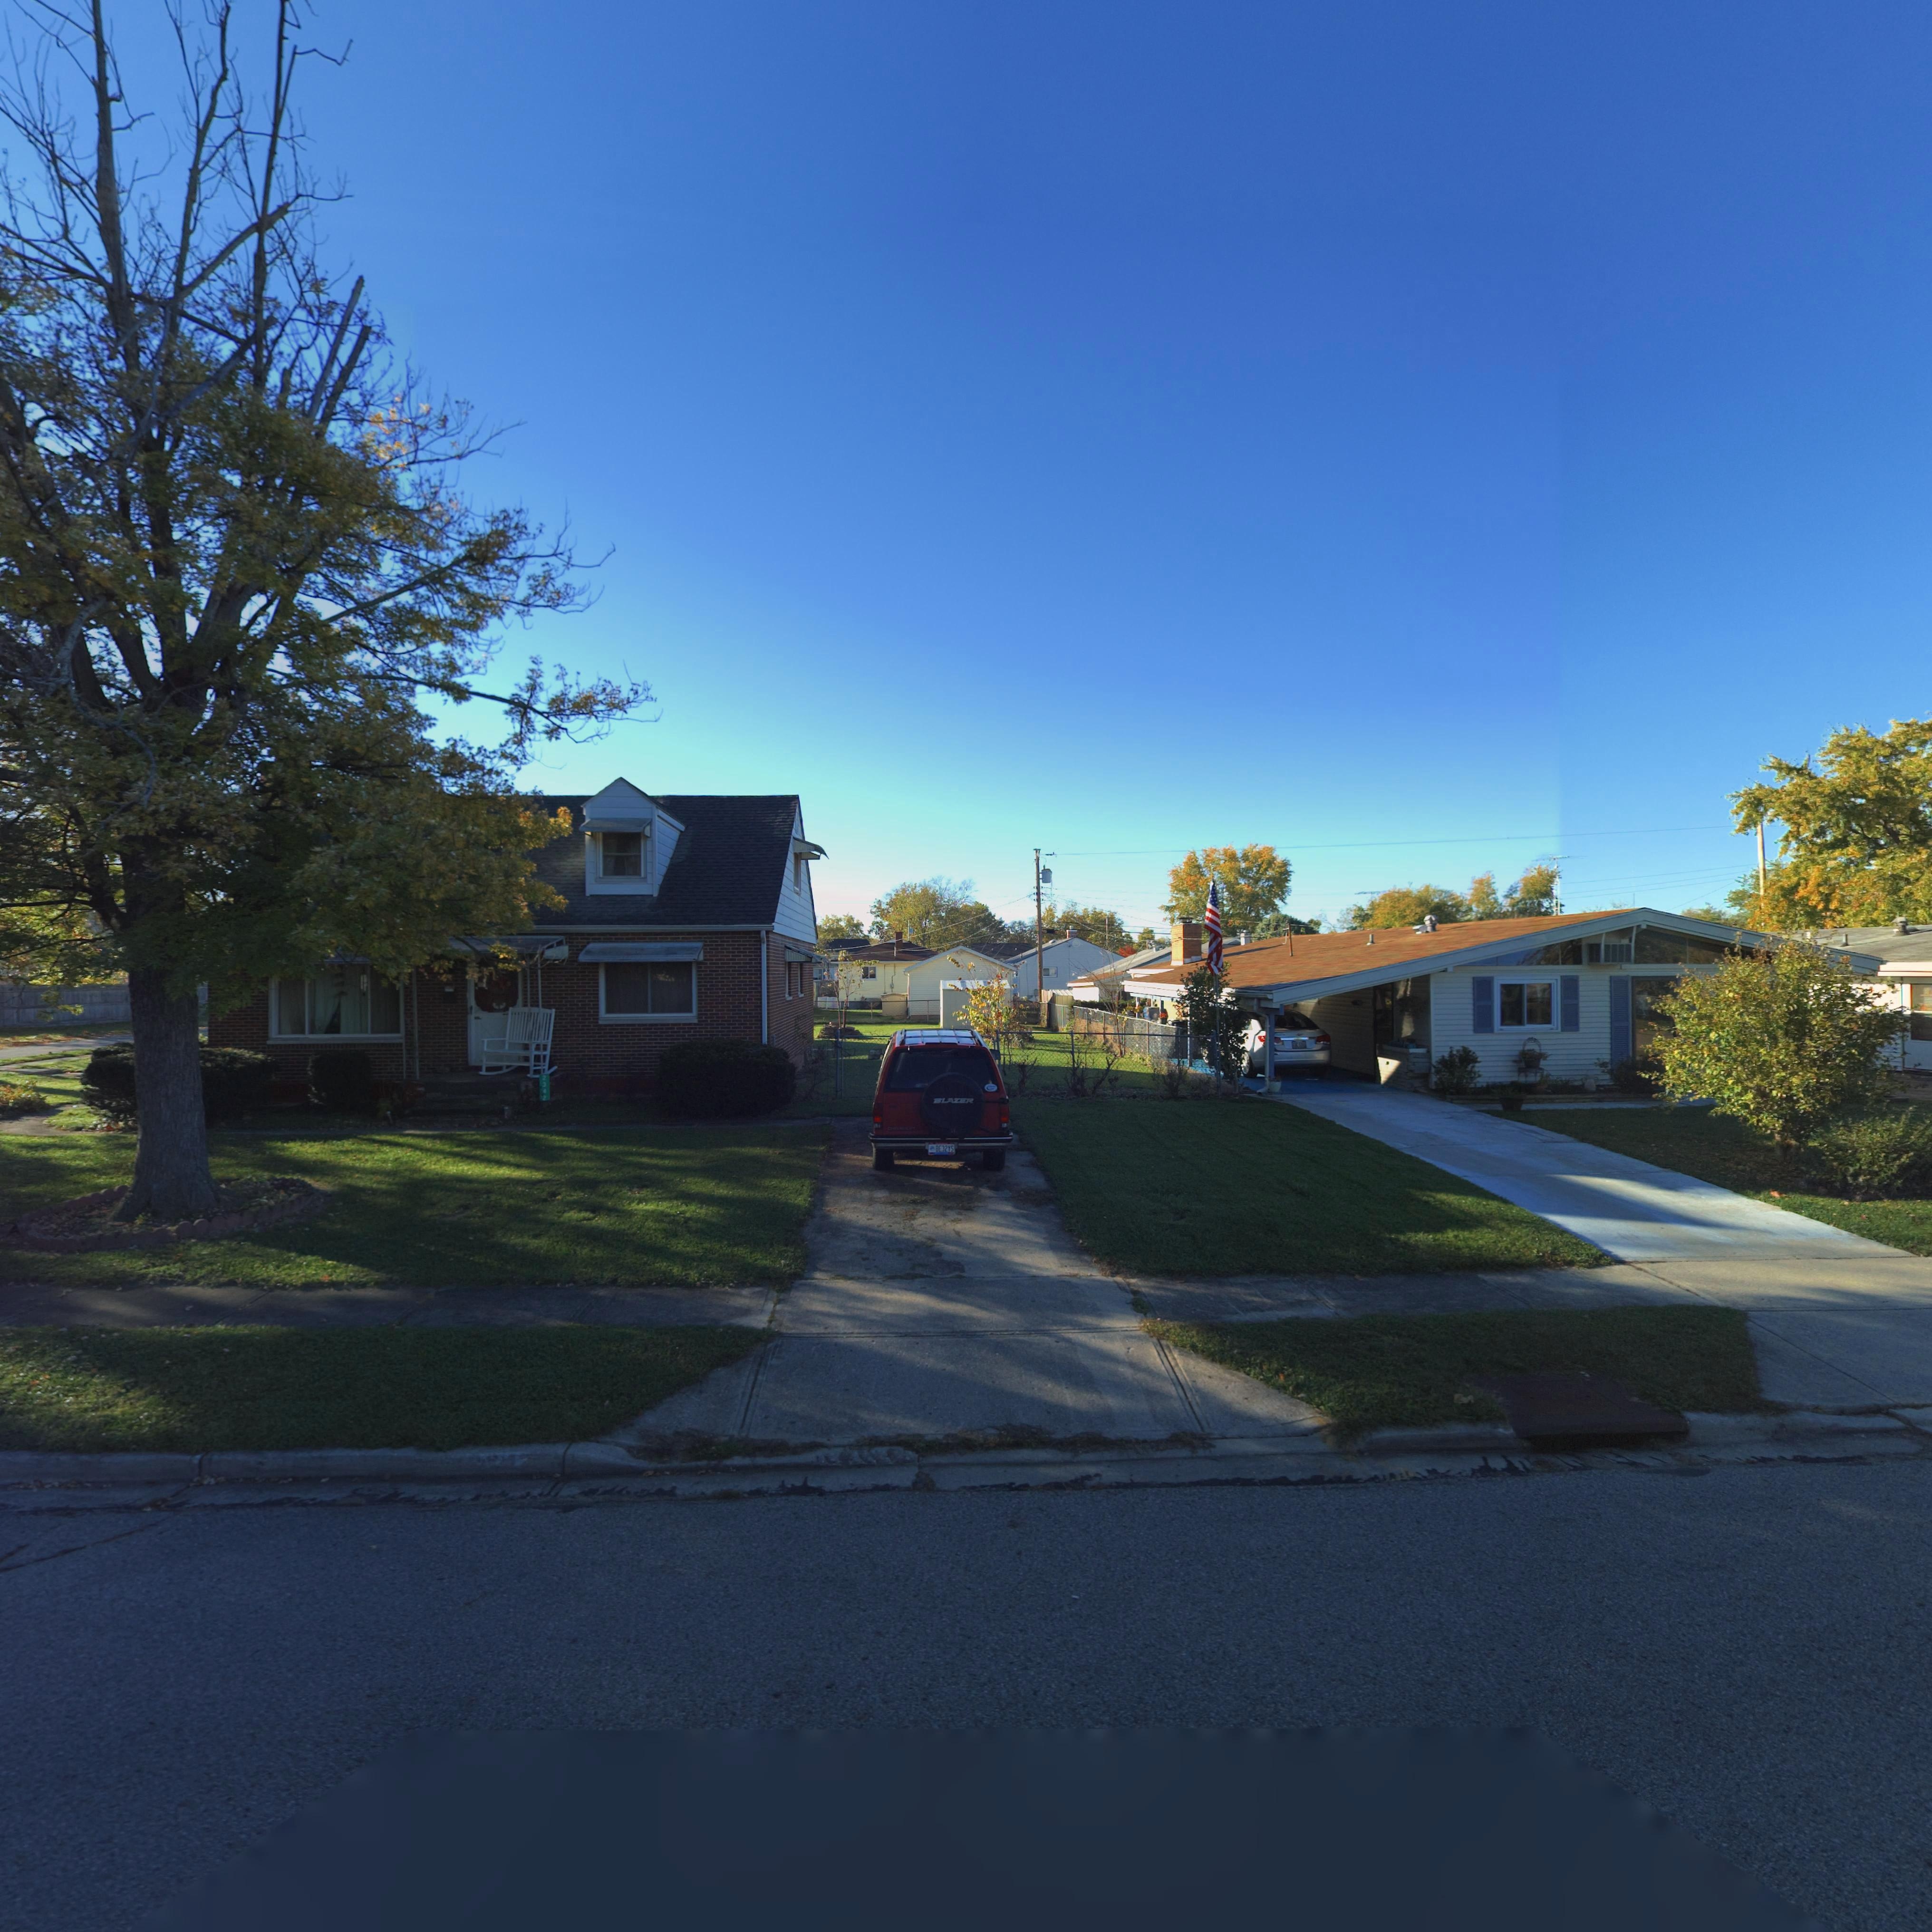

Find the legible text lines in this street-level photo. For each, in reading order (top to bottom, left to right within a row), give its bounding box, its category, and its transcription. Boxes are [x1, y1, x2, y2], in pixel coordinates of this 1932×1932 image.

[541, 1074, 548, 1101] StreetNumber: 23**